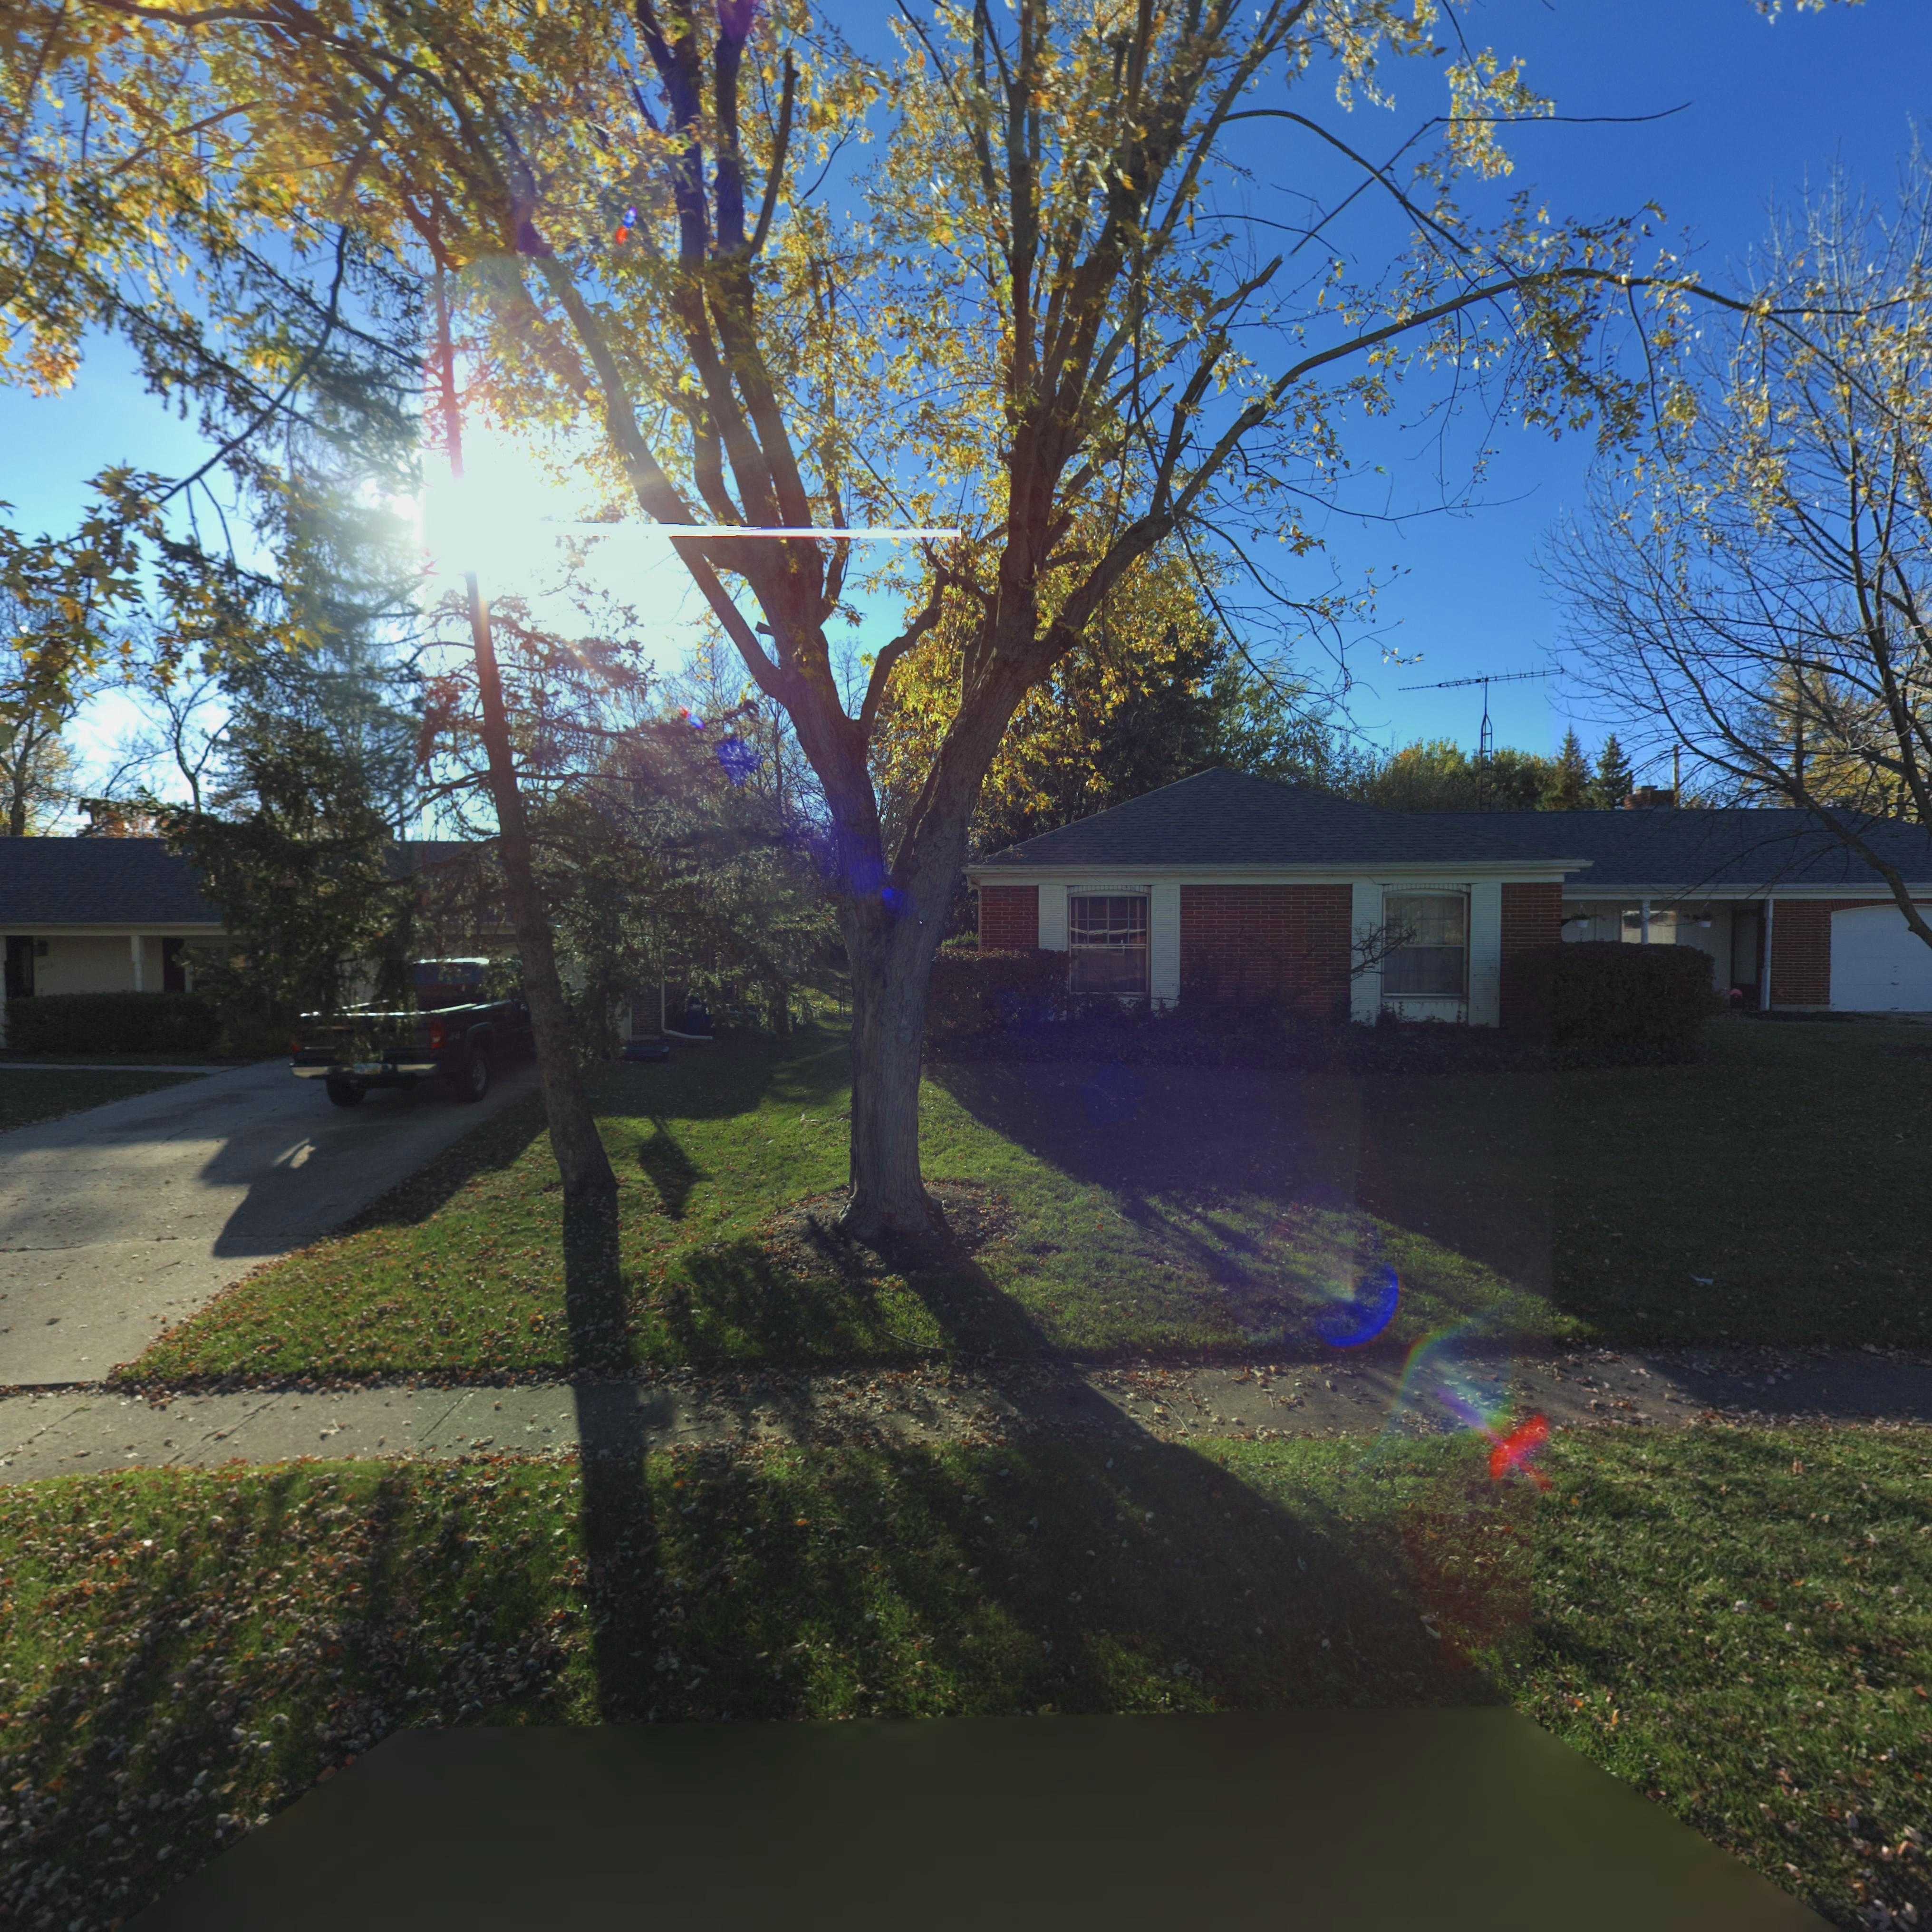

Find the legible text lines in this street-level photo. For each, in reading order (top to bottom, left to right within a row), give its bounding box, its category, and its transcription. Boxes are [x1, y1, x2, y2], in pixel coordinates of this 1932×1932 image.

[36, 961, 56, 972] StreetNumber: **19